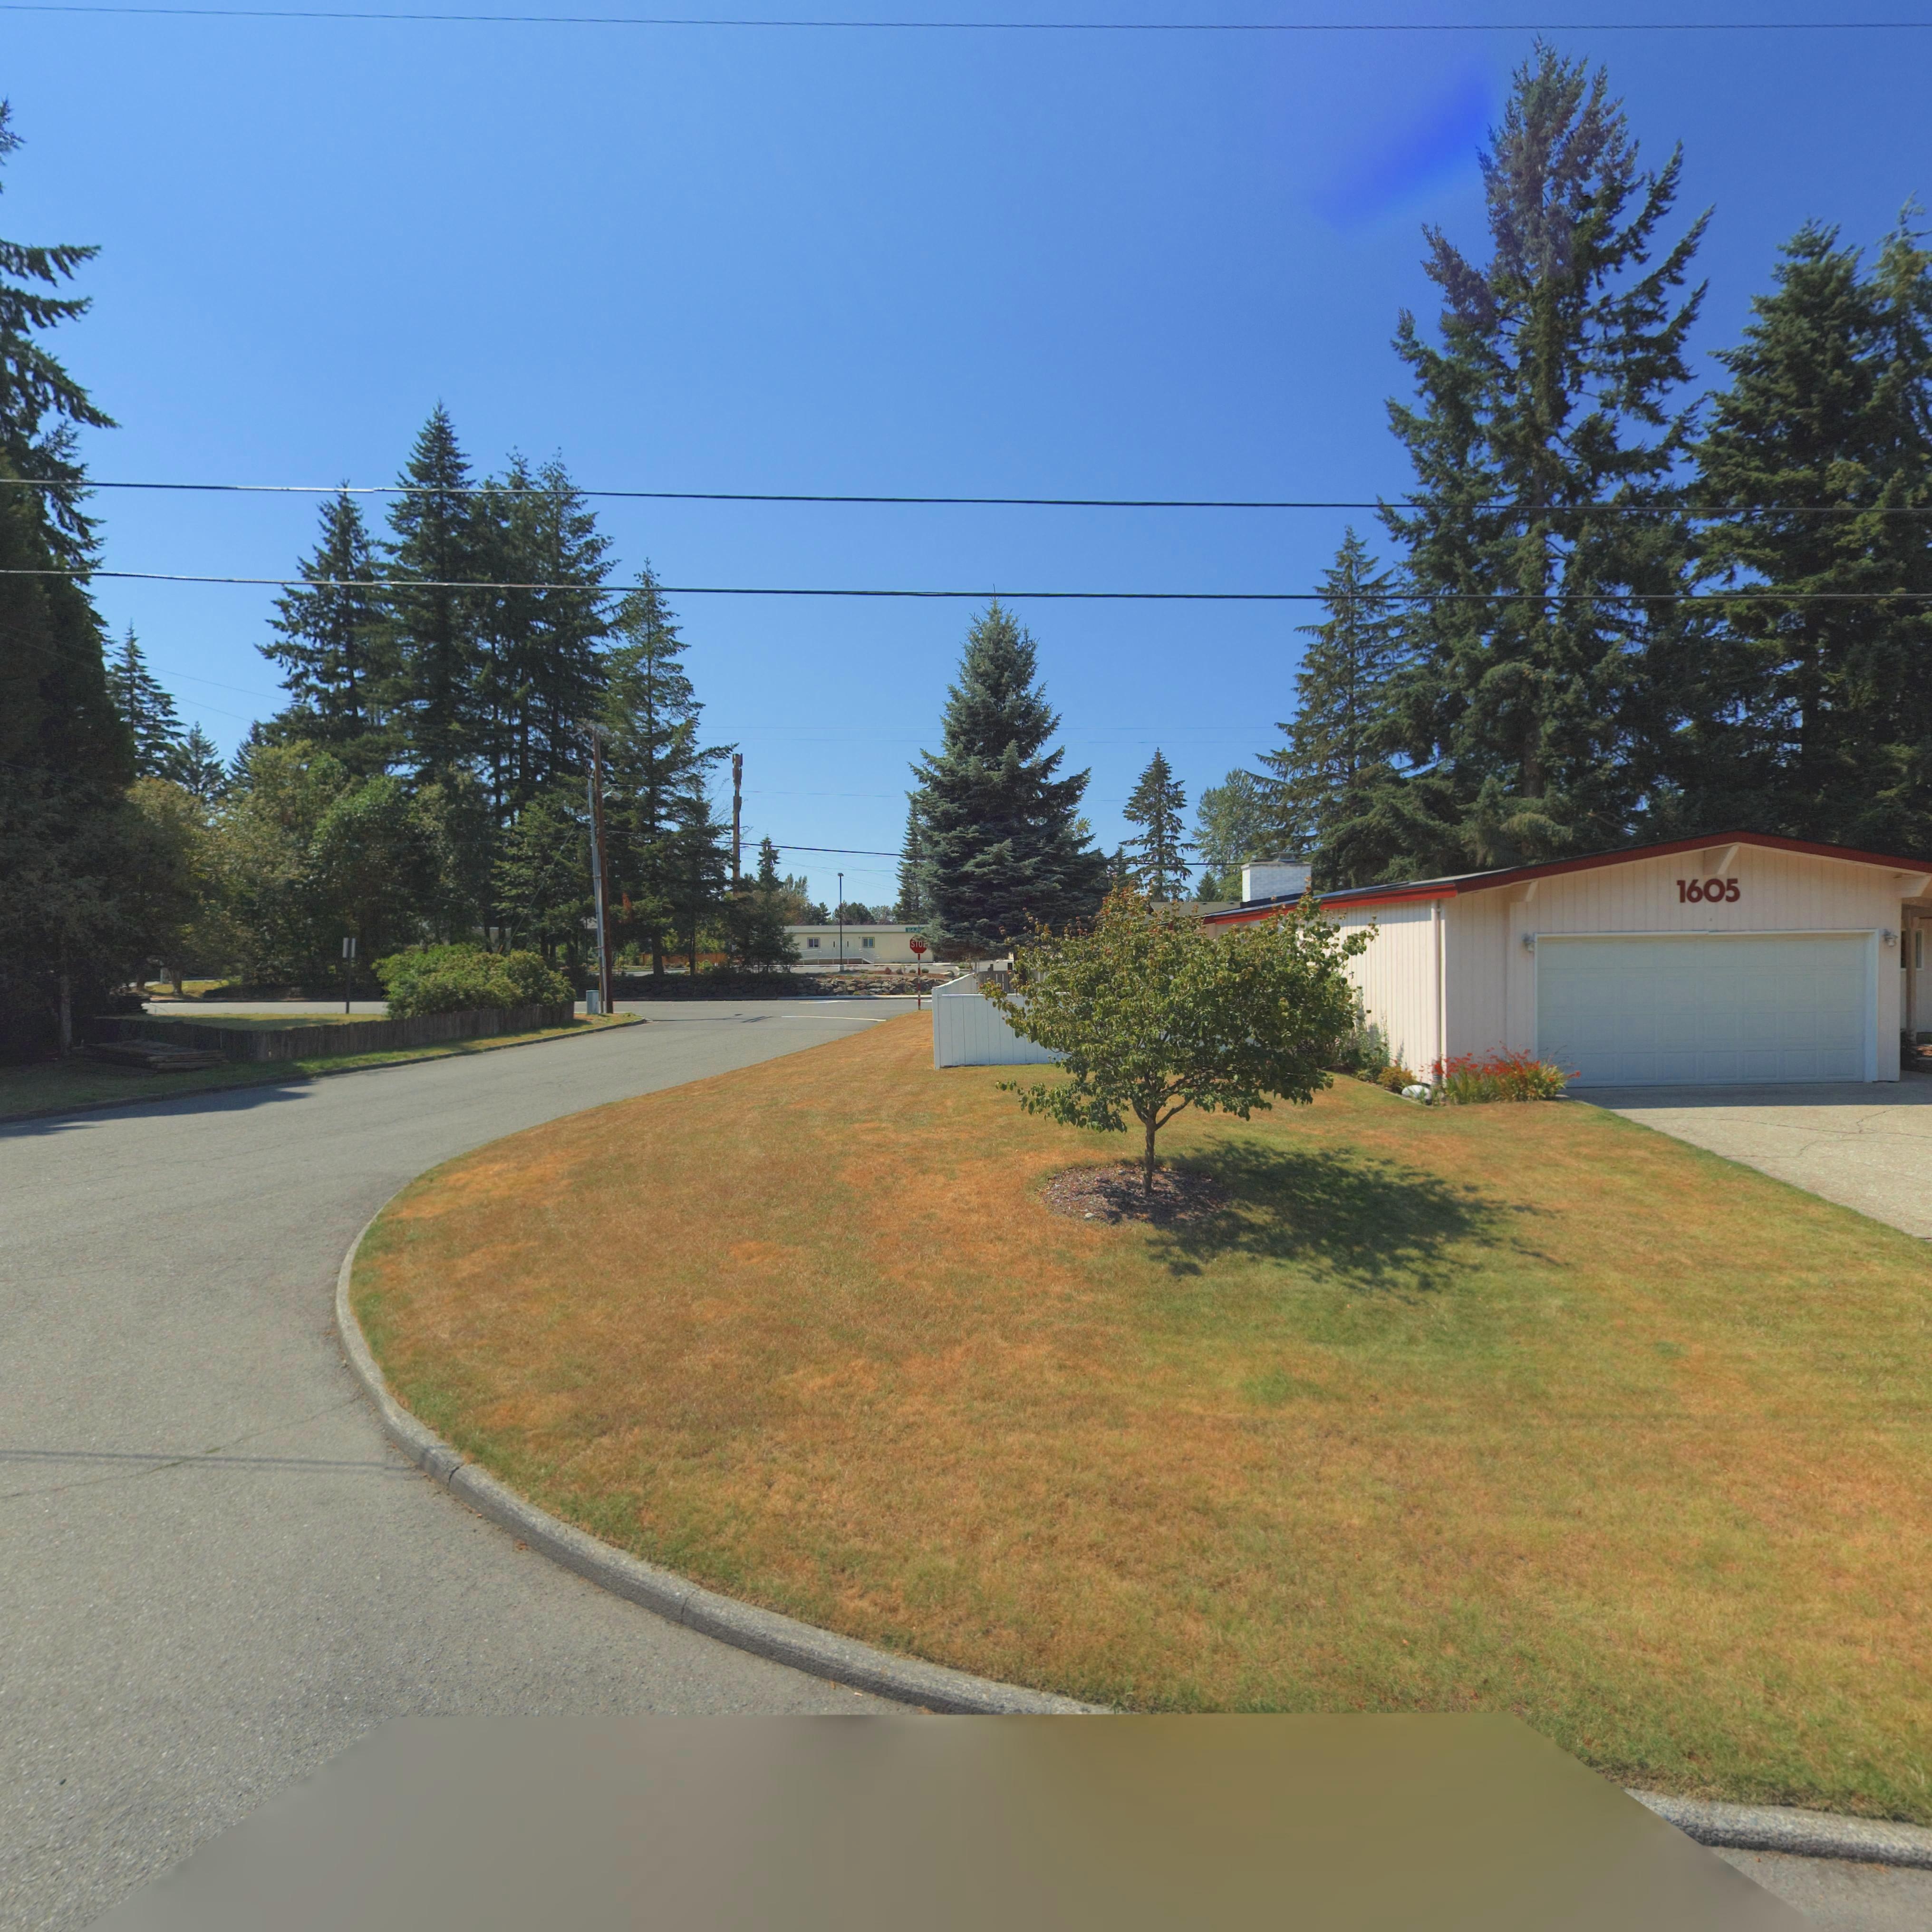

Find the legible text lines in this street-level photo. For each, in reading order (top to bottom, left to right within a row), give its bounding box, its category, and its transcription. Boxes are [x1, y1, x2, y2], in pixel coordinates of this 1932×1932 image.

[1675, 878, 1741, 903] StreetNumber: 1605
[907, 927, 922, 932] StreetName: 164 **